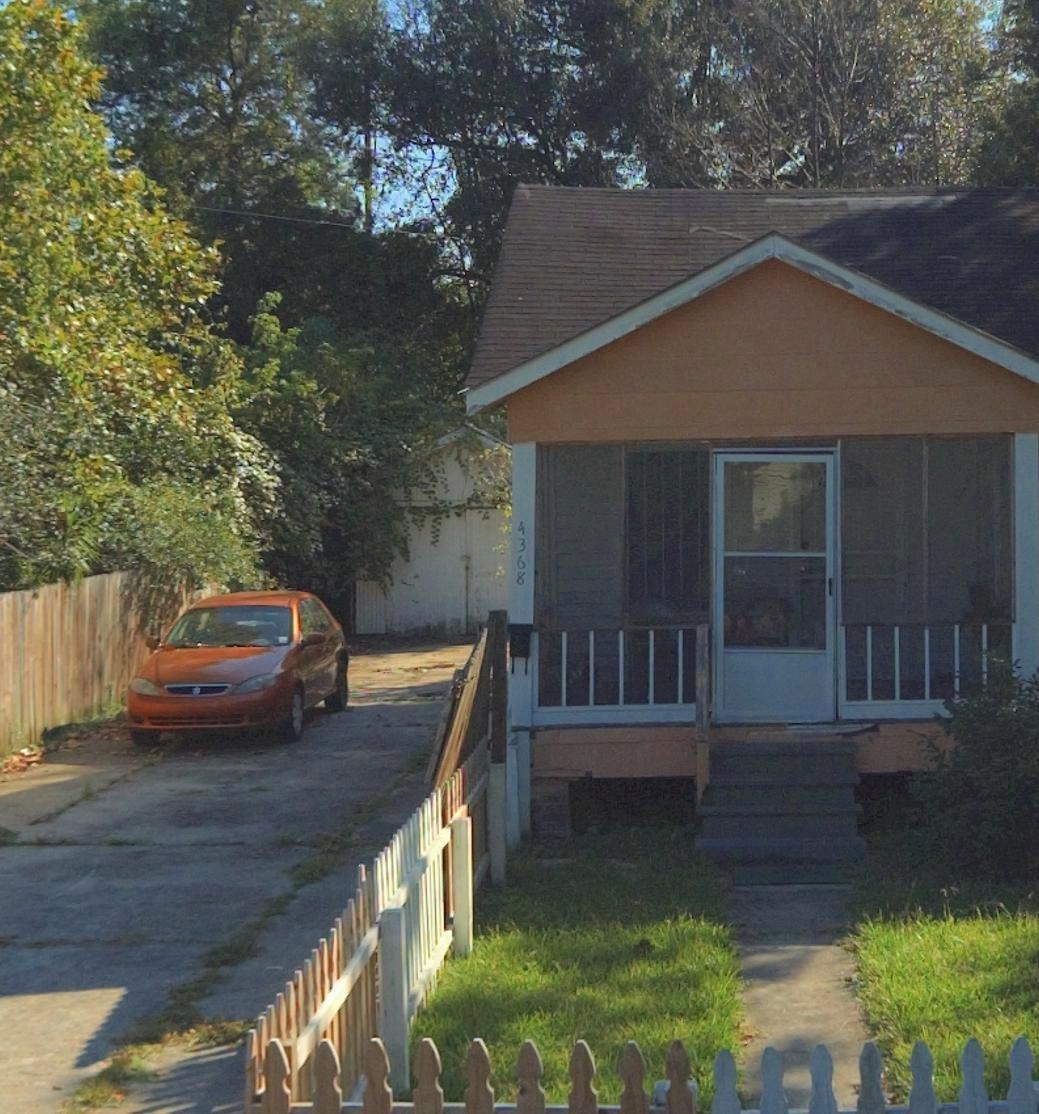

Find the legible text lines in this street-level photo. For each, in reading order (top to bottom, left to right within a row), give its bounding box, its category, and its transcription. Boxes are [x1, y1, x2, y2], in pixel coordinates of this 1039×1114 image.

[515, 520, 527, 586] StreetNumber: 4368